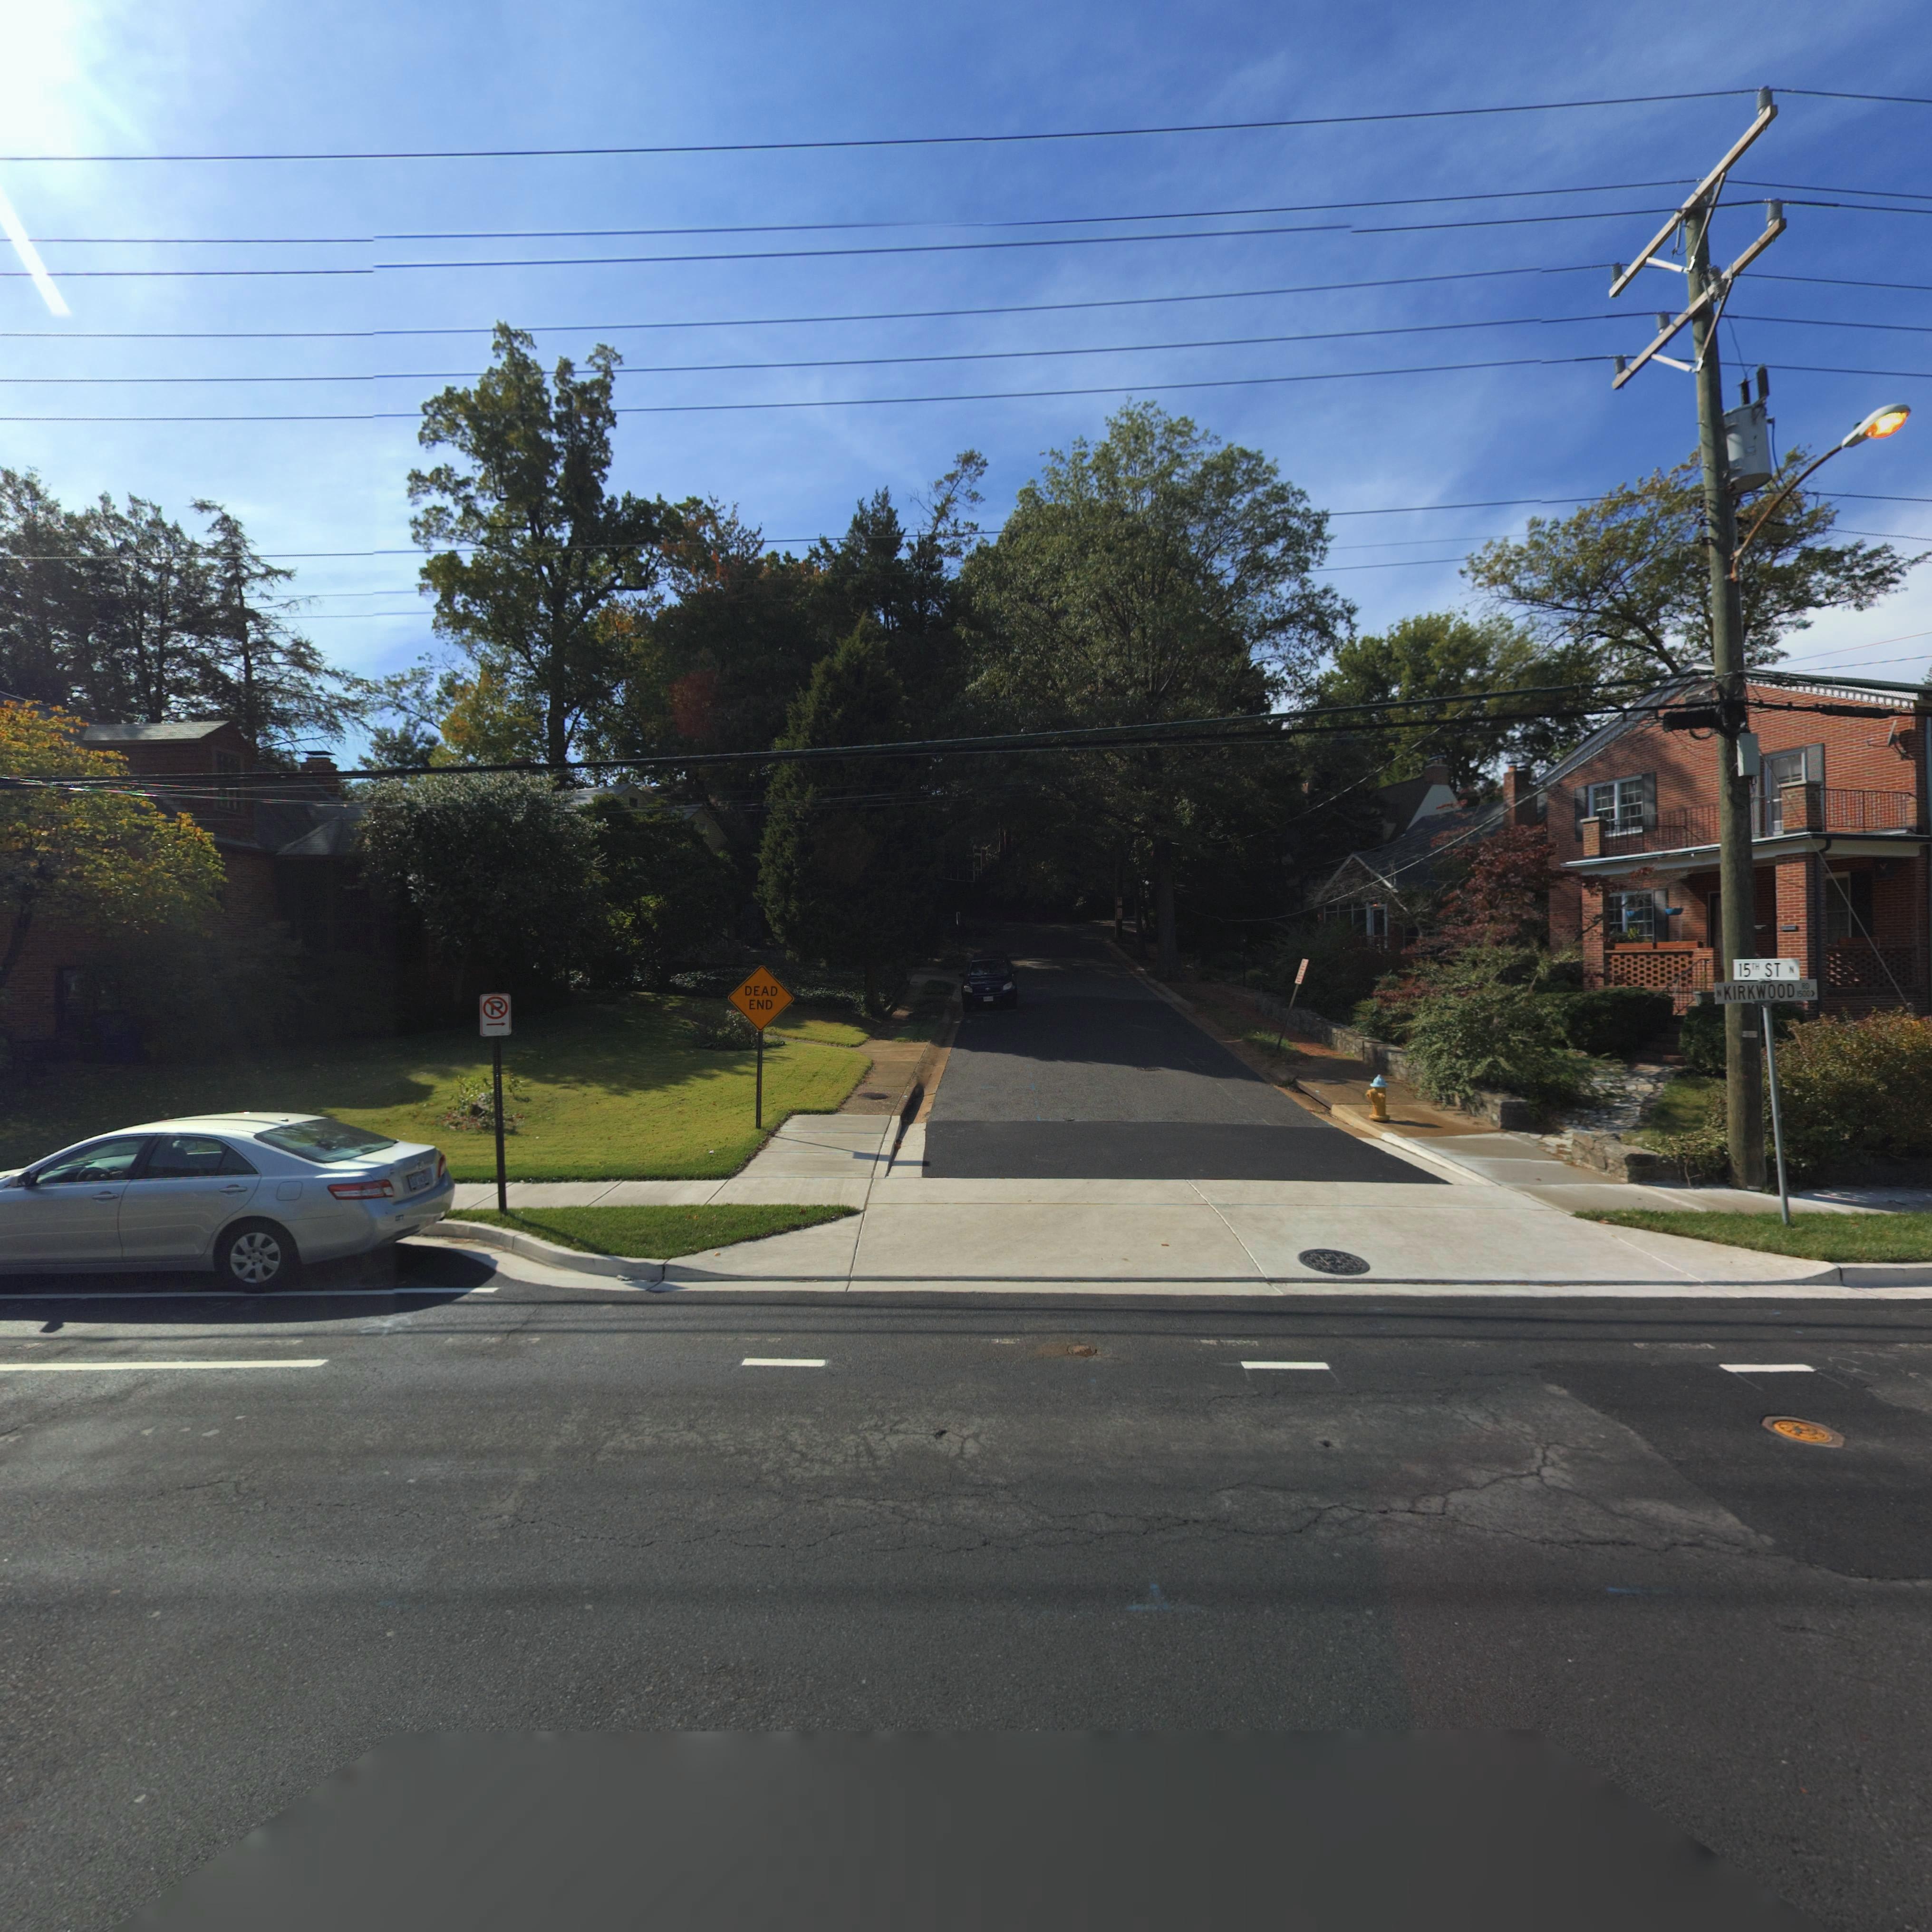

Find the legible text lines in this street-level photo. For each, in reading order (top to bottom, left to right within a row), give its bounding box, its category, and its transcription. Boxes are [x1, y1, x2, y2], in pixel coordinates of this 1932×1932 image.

[1738, 962, 1795, 978] StreetName: 15TH ST N
[744, 985, 778, 996] None: DEAD
[1716, 982, 1811, 1001] StreetName: N KIRKWOOD RD
[1795, 989, 1816, 998] StreetNumberRange: 1500->
[749, 999, 773, 1010] None: END